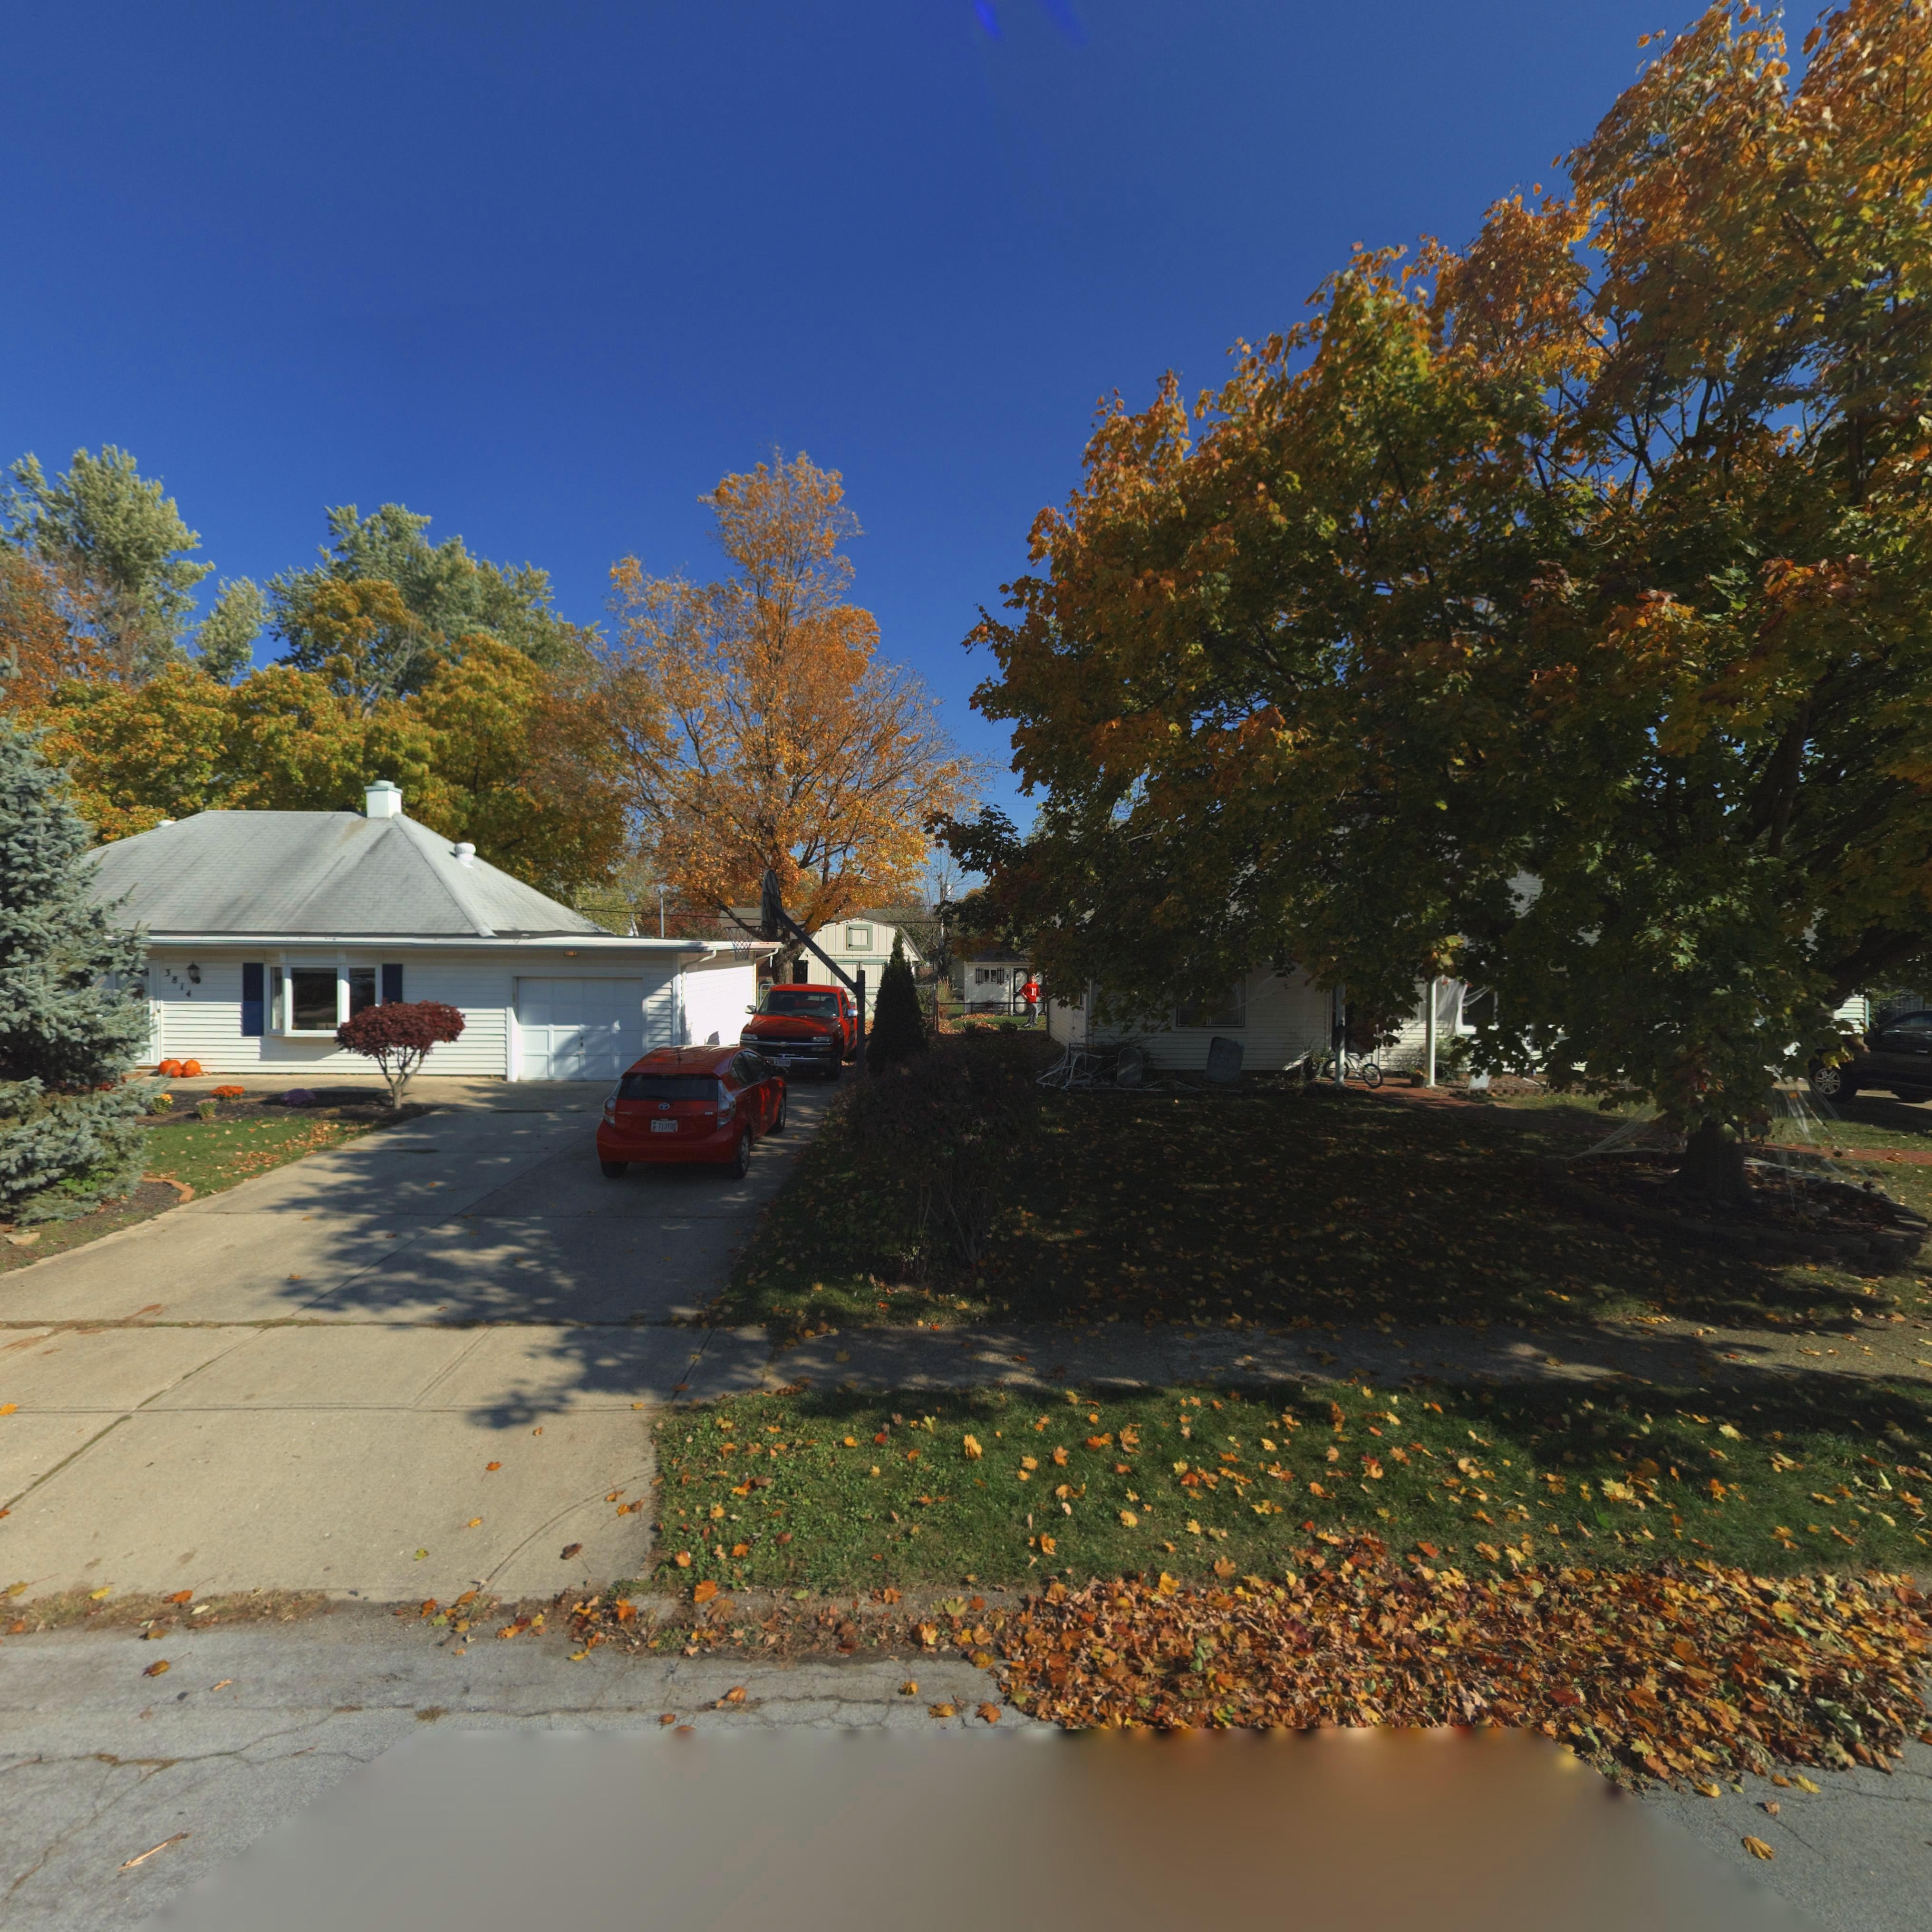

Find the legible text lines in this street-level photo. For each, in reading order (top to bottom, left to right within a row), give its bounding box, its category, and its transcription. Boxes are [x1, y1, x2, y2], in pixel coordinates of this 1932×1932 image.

[164, 968, 192, 998] StreetNumber: 3814
[657, 1122, 677, 1130] None: 713YO*